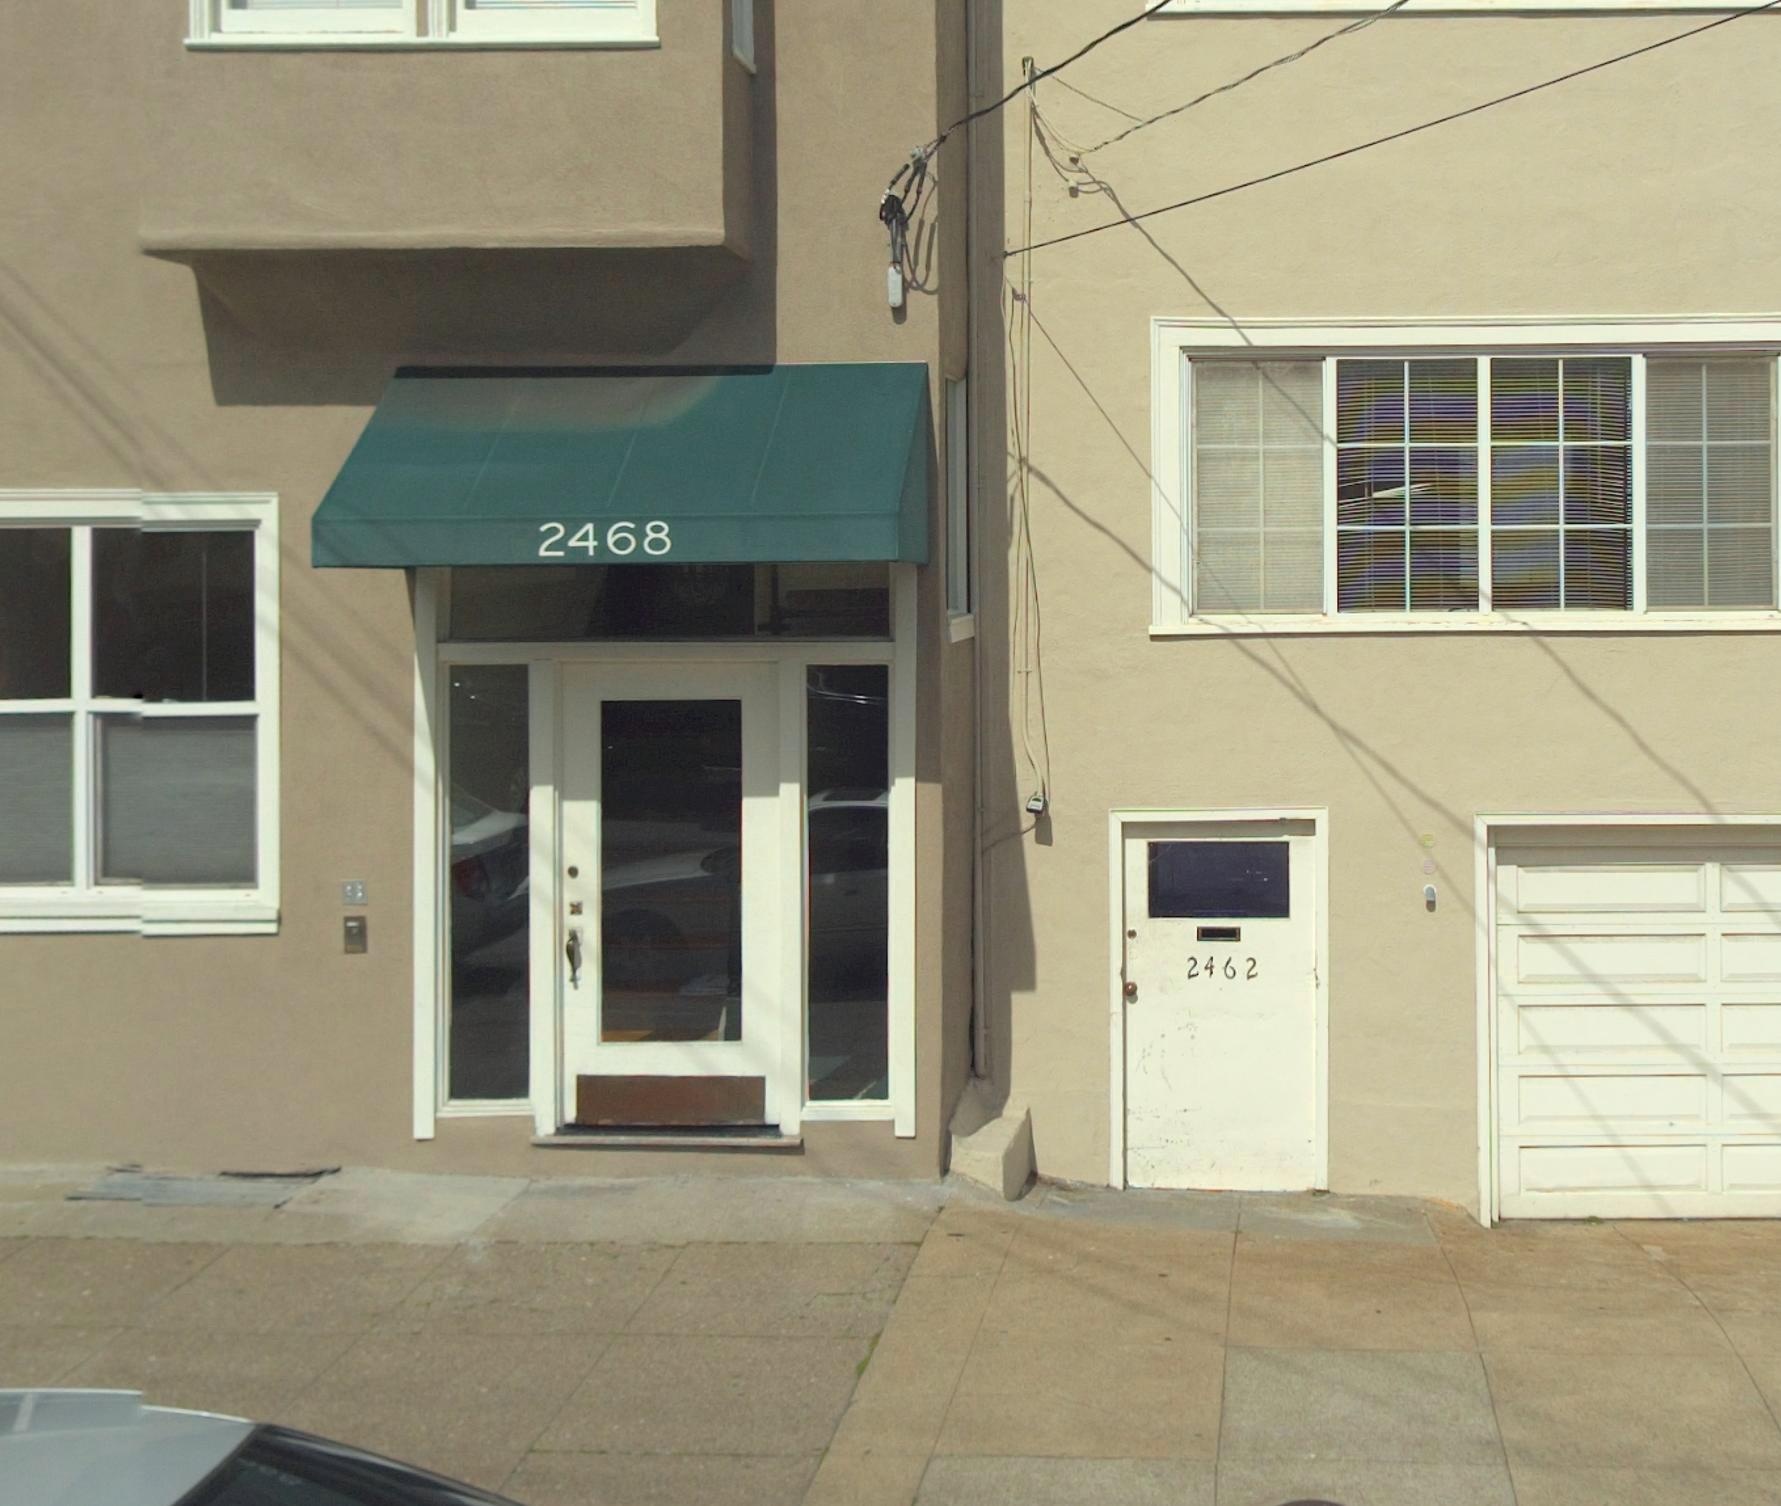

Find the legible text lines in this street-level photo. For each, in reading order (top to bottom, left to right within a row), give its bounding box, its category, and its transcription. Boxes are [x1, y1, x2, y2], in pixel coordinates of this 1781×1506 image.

[534, 516, 675, 561] StreetNumber: 2468
[1183, 953, 1261, 985] StreetNumber: 2462